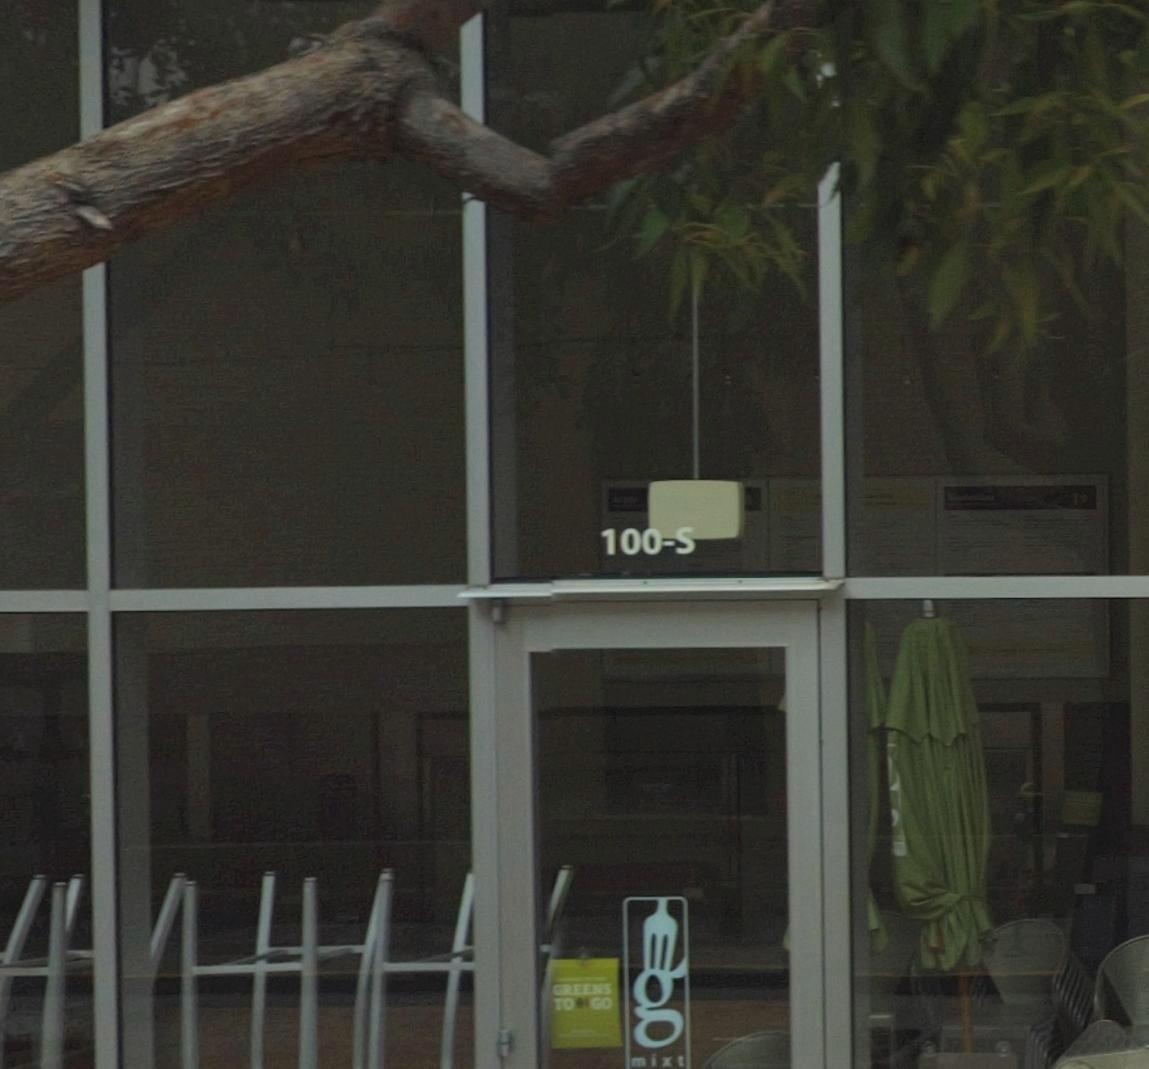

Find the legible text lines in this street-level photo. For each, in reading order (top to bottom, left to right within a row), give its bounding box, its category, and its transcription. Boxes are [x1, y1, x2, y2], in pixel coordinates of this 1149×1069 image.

[598, 523, 699, 559] StreetNumber: 100-S
[549, 979, 615, 999] None: GREENS
[551, 995, 616, 1014] None: TO*GO
[626, 952, 693, 1054] BusinessName: g
[630, 1050, 687, 1068] BusinessName: mixt